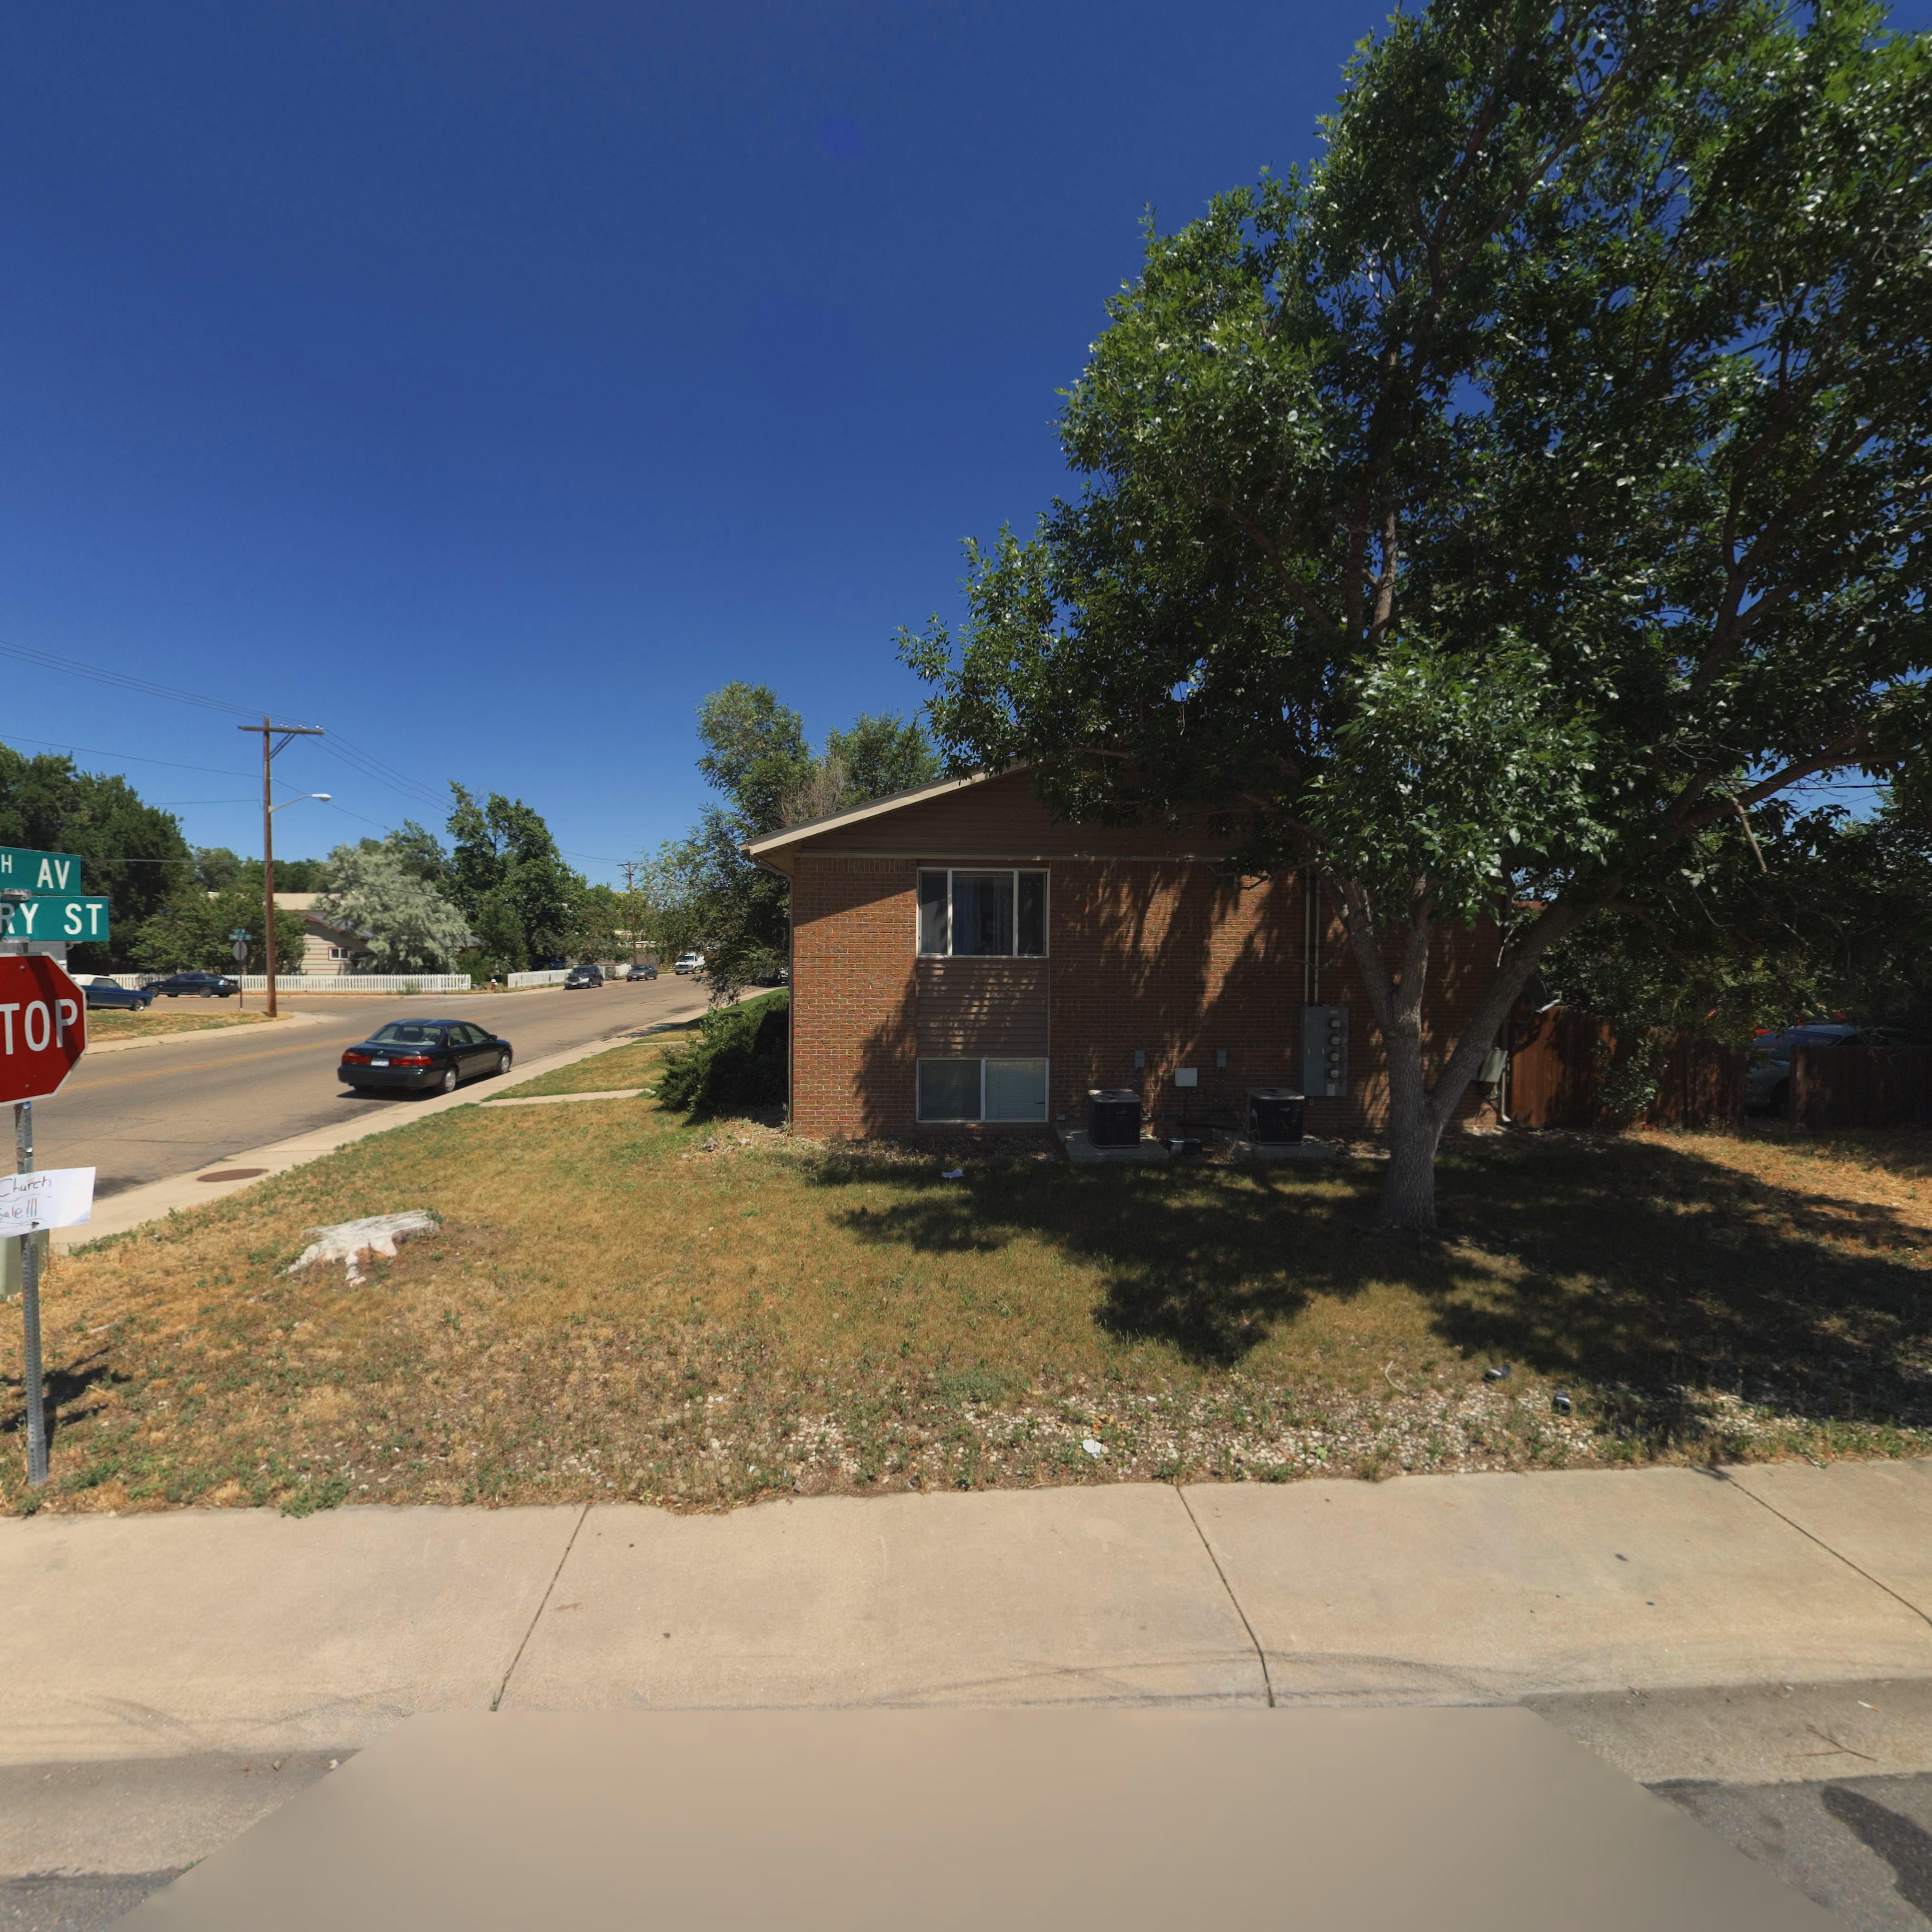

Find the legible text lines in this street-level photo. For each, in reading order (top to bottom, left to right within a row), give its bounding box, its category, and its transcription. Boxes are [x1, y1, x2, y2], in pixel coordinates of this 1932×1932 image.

[1, 853, 71, 889] StreetName: H AV
[17, 902, 103, 935] StreetName: Y ST
[229, 934, 251, 939] StreetName: EMERY ST